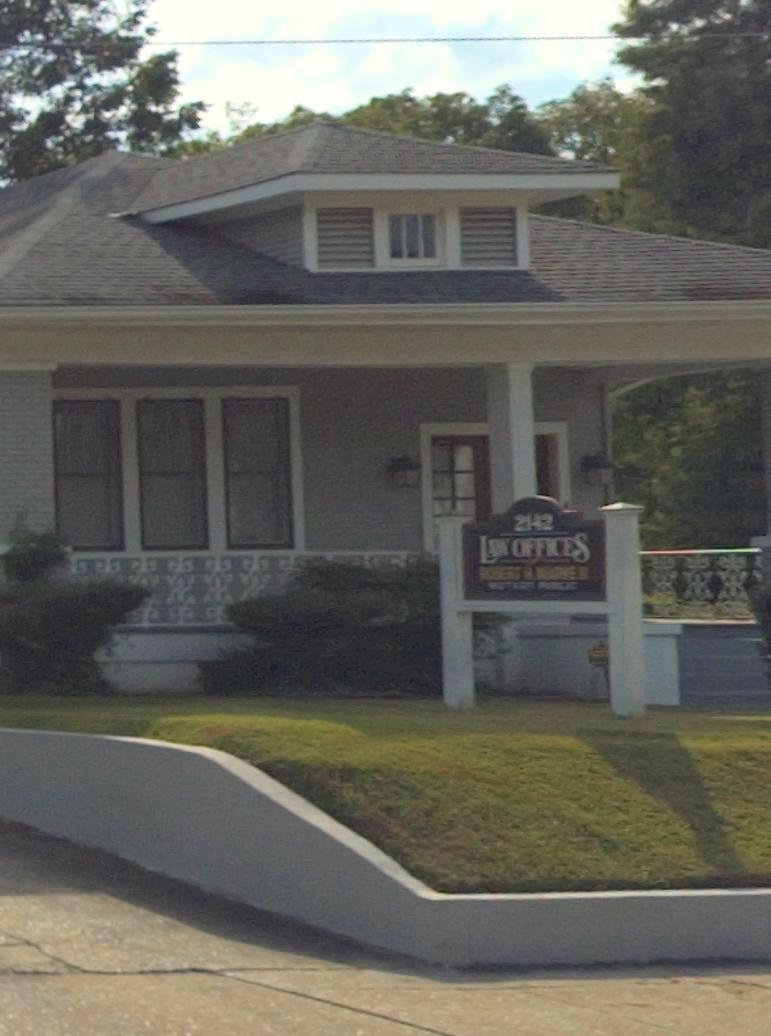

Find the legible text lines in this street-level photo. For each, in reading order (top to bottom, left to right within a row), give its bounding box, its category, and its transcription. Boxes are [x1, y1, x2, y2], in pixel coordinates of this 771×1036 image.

[510, 509, 556, 534] StreetNumber: 2142
[472, 530, 594, 563] BusinessName: LAW OFFICES
[475, 564, 524, 580] BusinessName: ROBERT
[535, 580, 580, 589] None: PARKING